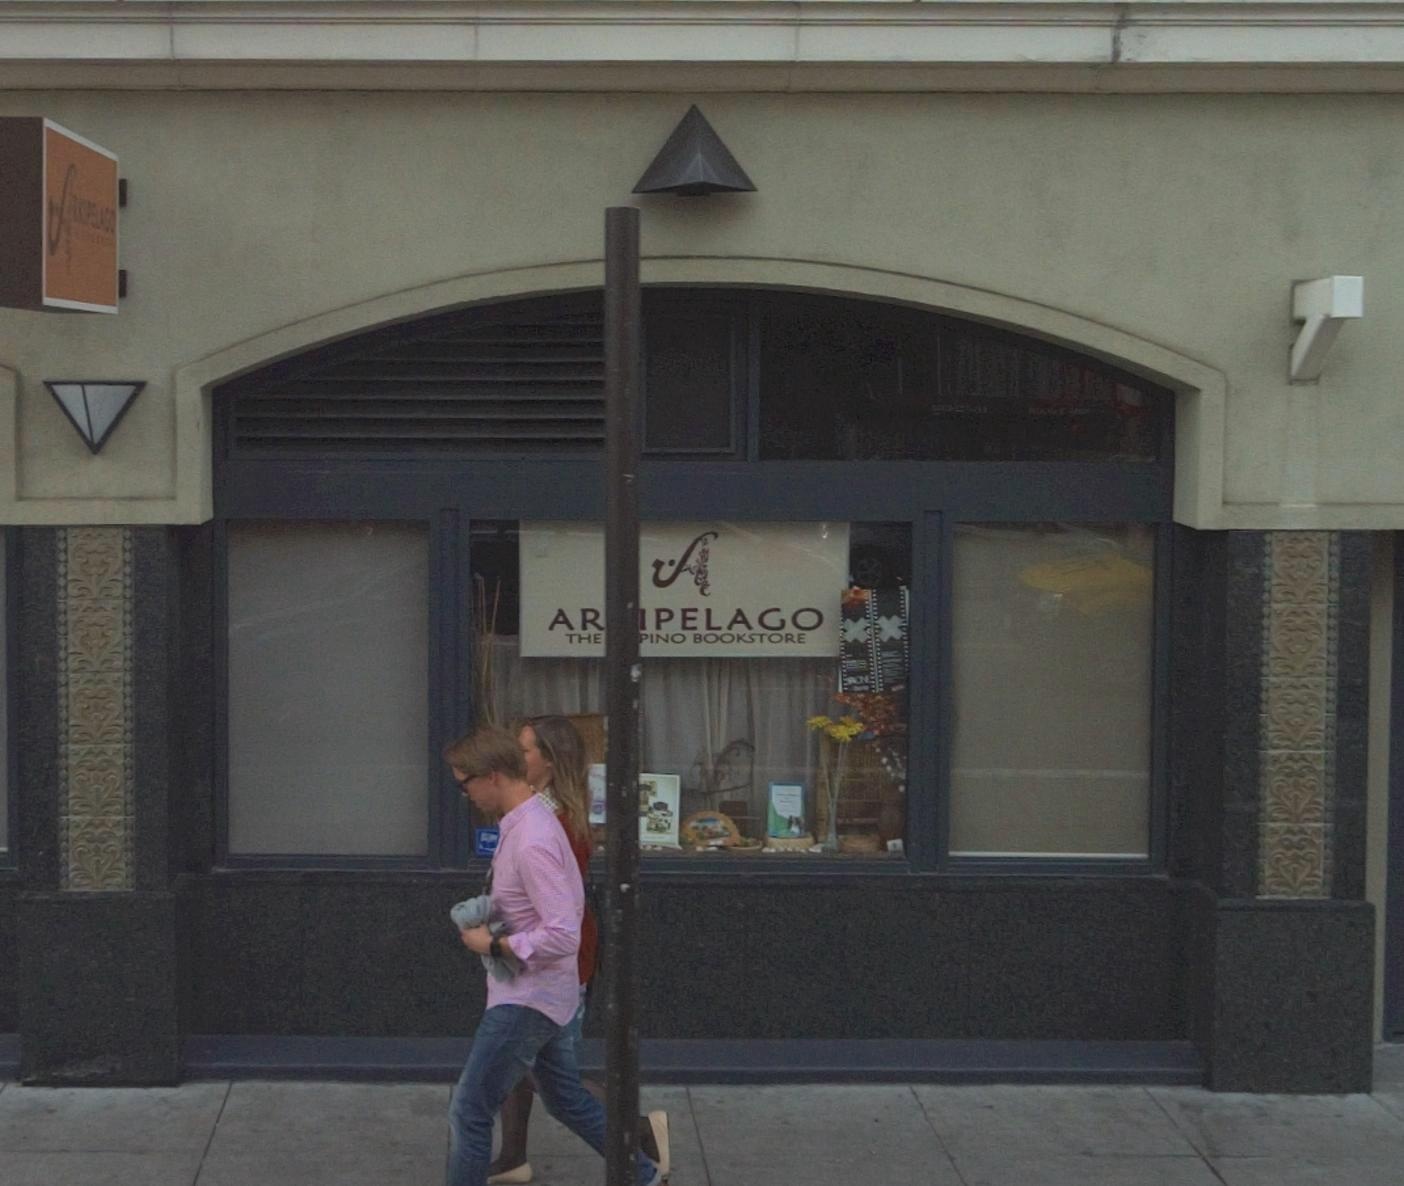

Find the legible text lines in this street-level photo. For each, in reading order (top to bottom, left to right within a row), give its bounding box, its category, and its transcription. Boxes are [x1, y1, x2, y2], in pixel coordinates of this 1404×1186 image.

[561, 631, 605, 647] BusinessName: THE
[543, 604, 827, 633] BusinessName: AR**PELAGO
[636, 630, 810, 646] BusinessName: PINO BOOKSTORE
[839, 612, 906, 646] None: X*X